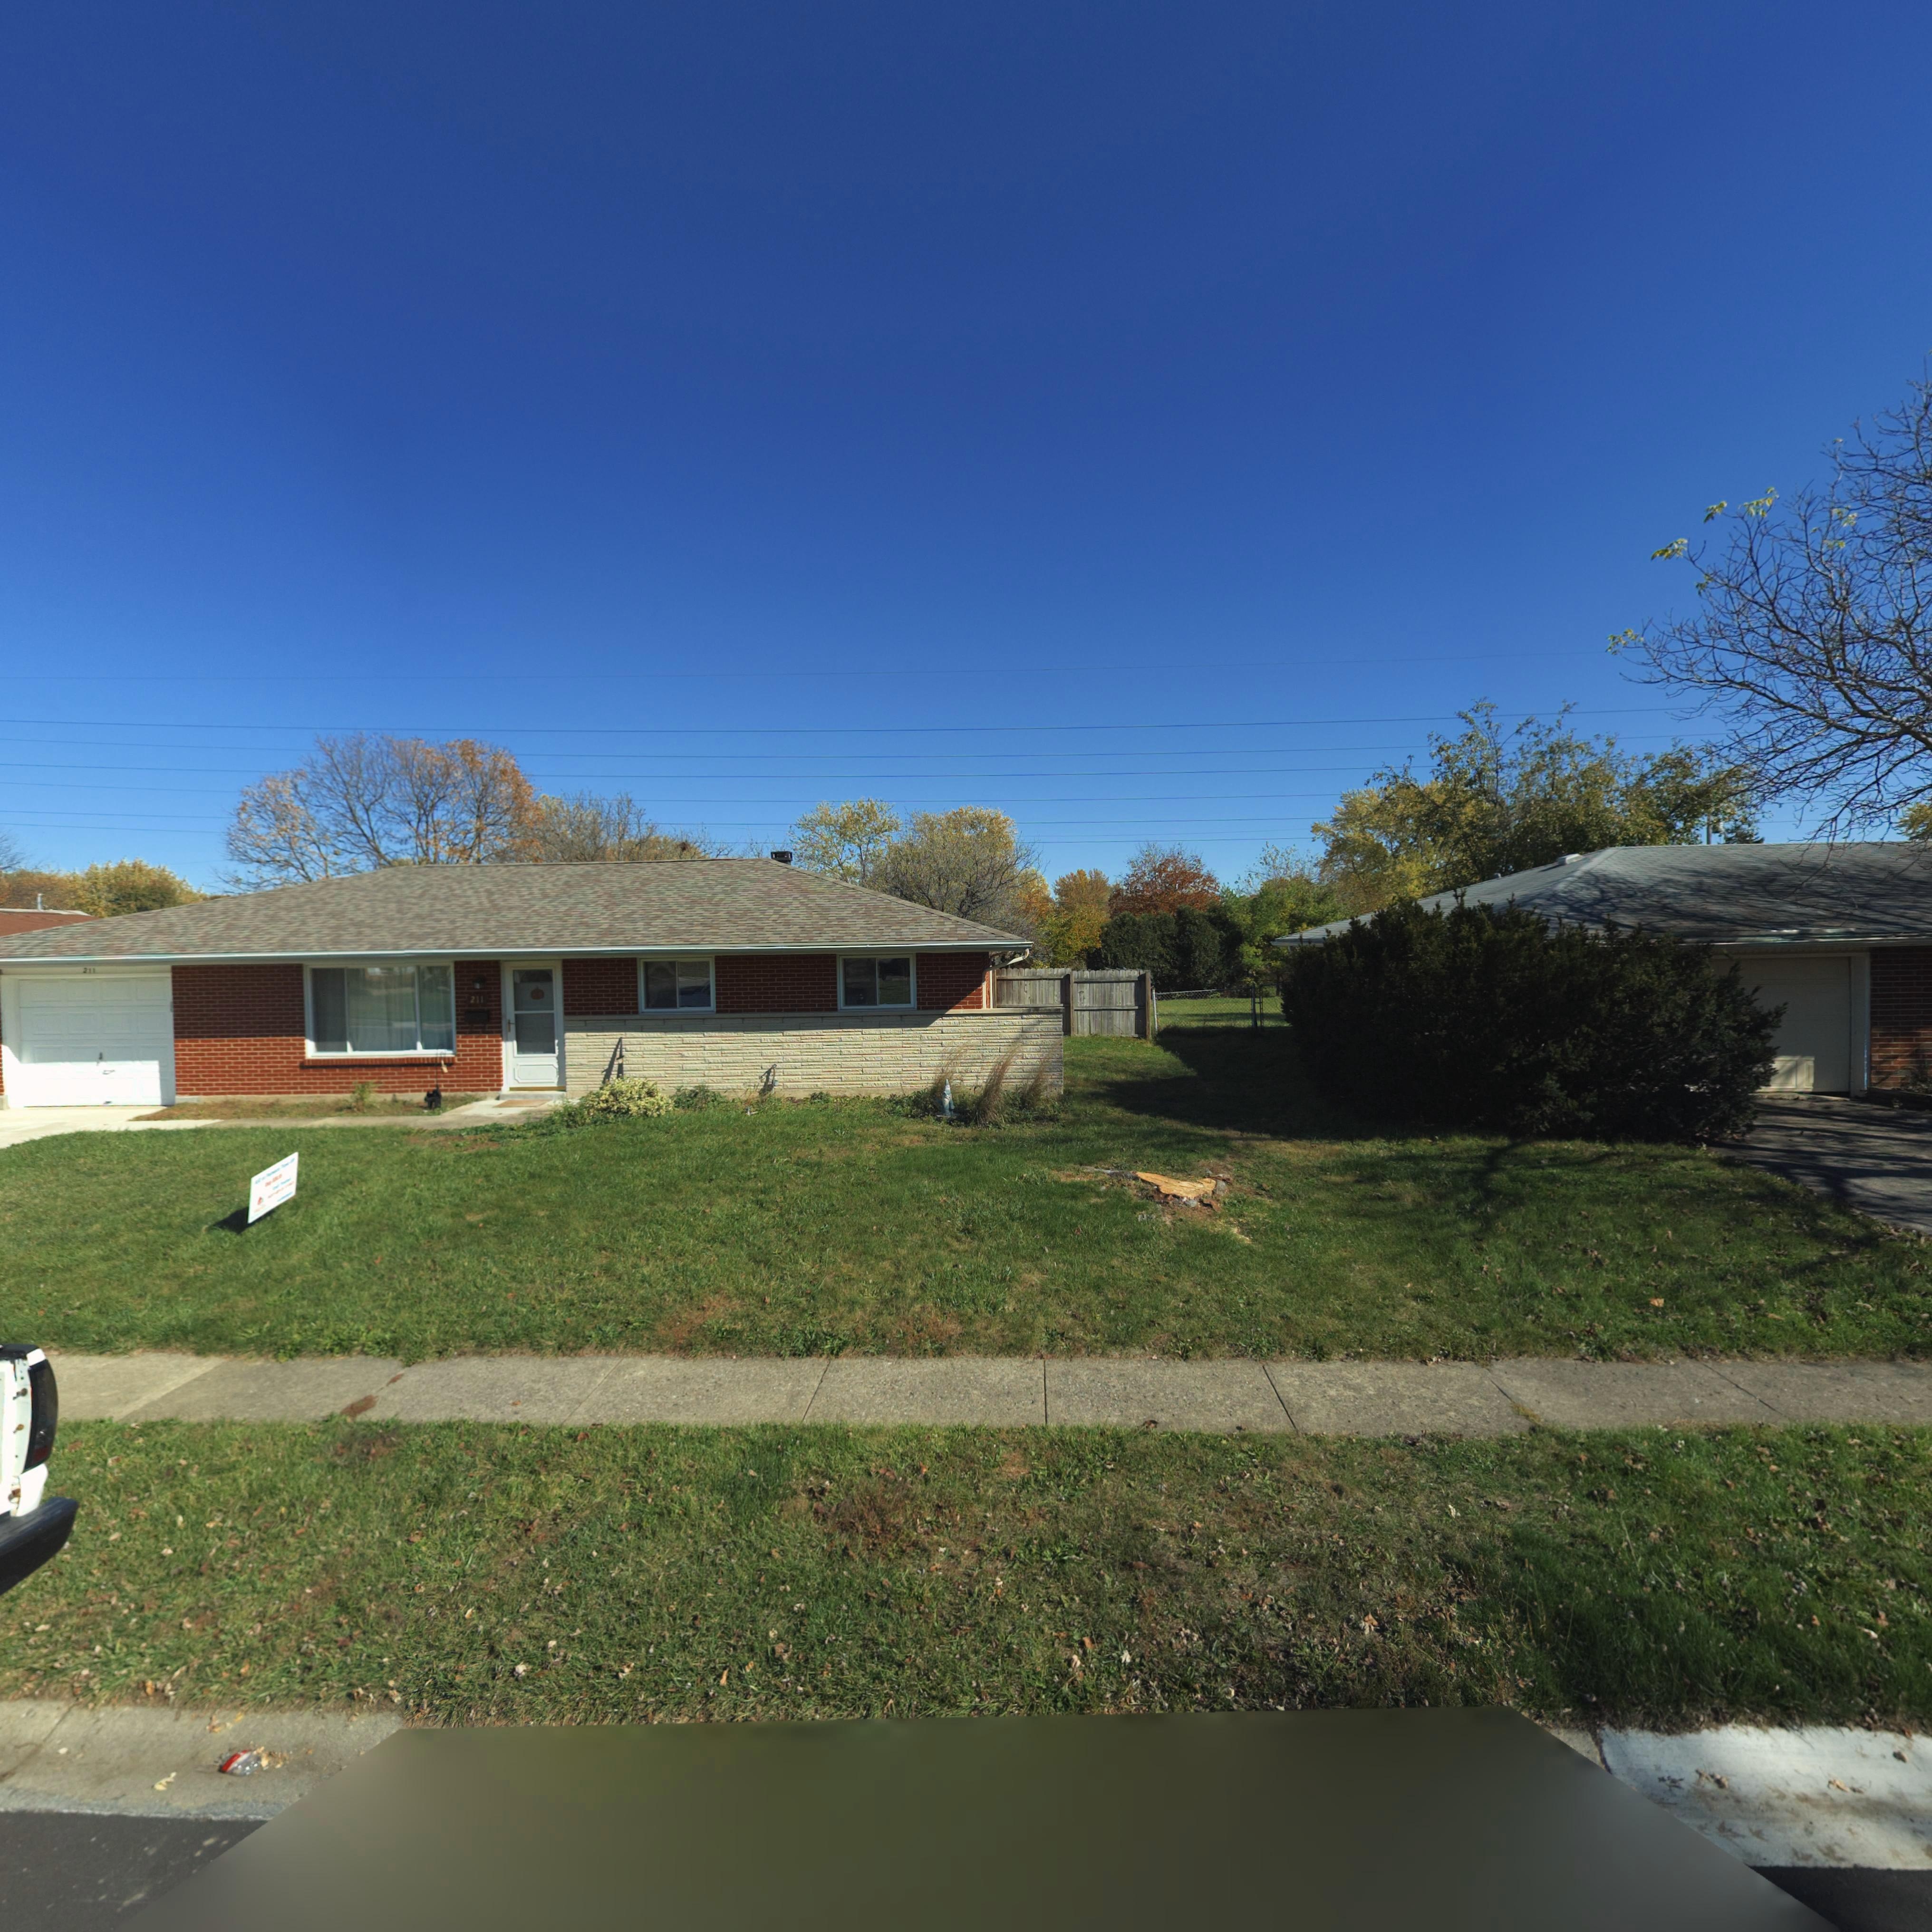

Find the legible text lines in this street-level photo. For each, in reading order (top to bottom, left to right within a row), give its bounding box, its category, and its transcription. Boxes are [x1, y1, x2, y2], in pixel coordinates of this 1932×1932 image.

[82, 967, 96, 974] StreetNumber: 211
[470, 995, 484, 1004] StreetNumber: 211